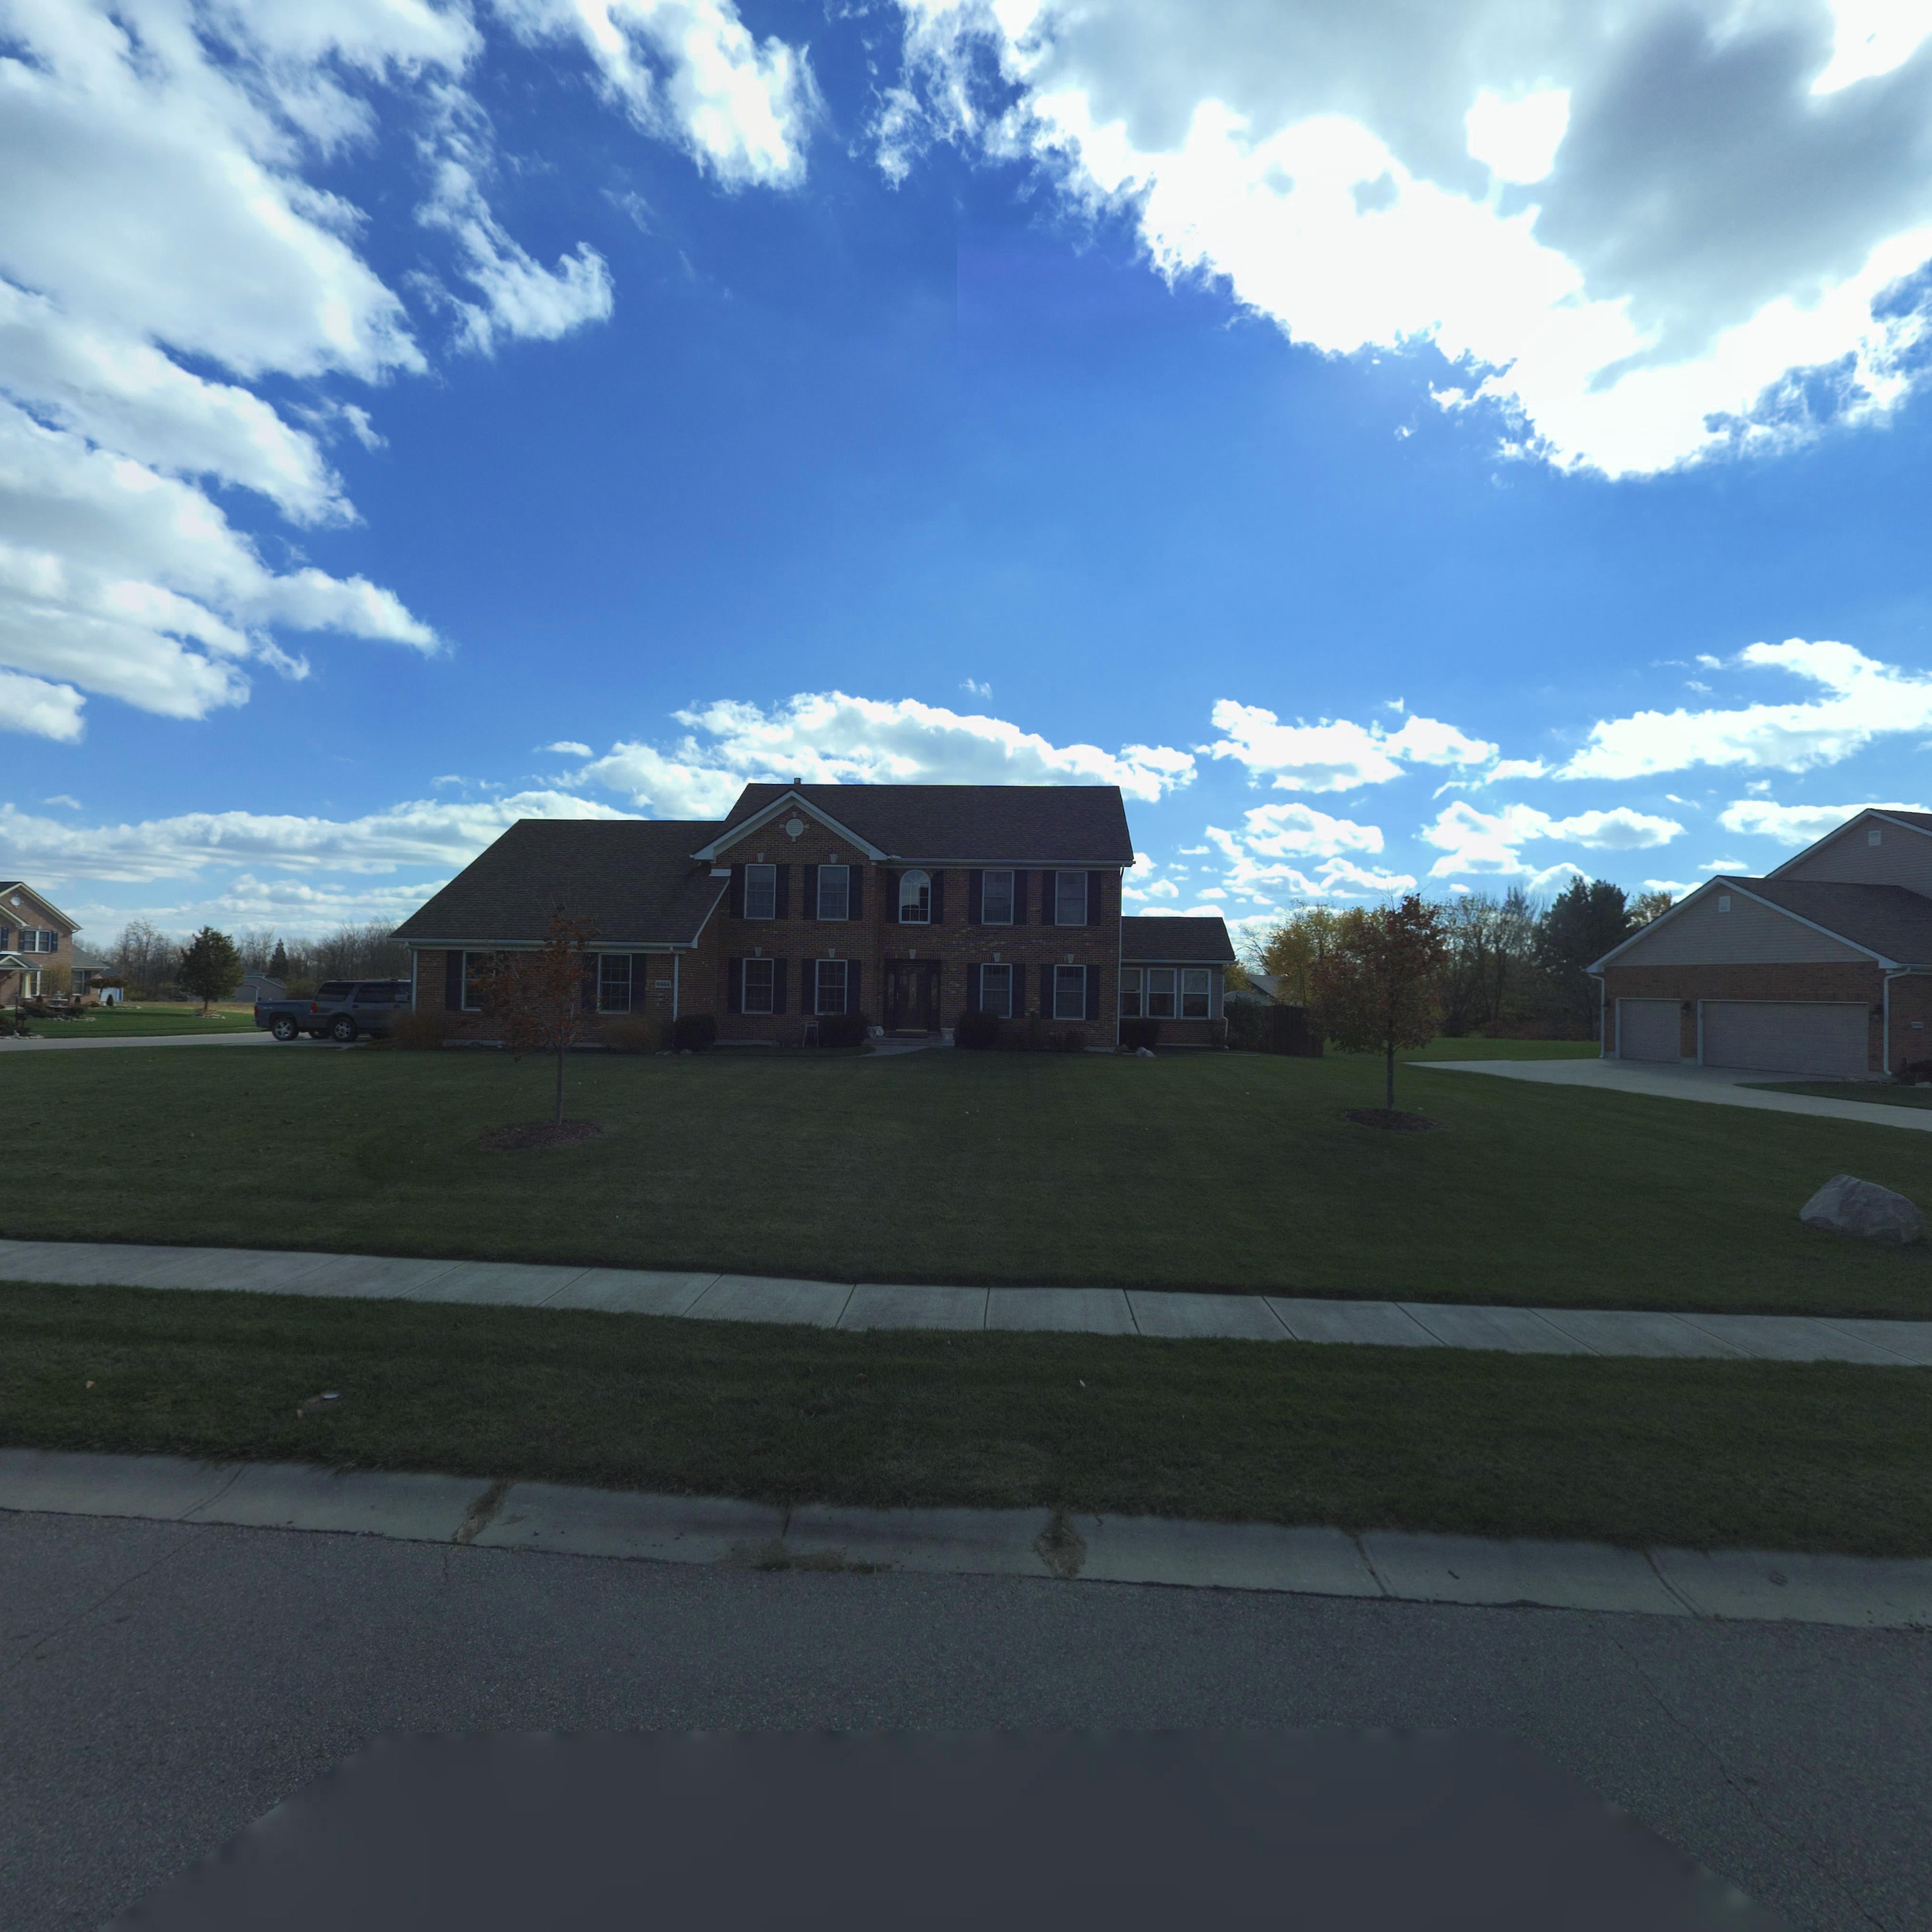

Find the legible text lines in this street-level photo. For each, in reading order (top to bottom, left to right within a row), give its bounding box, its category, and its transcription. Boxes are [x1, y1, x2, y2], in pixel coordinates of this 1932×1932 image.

[656, 981, 670, 987] StreetNumber: 6884